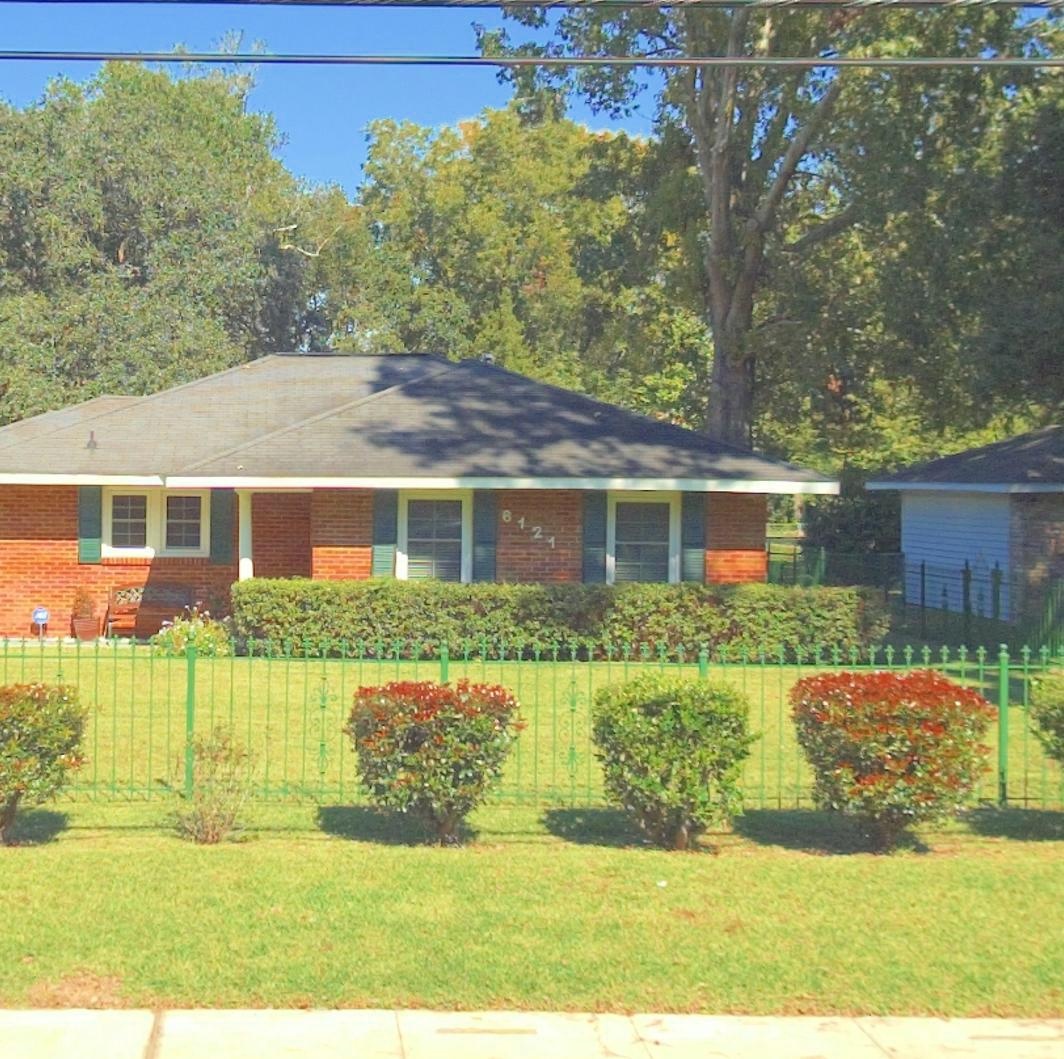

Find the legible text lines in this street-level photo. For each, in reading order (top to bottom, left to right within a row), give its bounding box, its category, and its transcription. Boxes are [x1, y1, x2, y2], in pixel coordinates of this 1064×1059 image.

[499, 507, 558, 552] StreetNumber: 6121